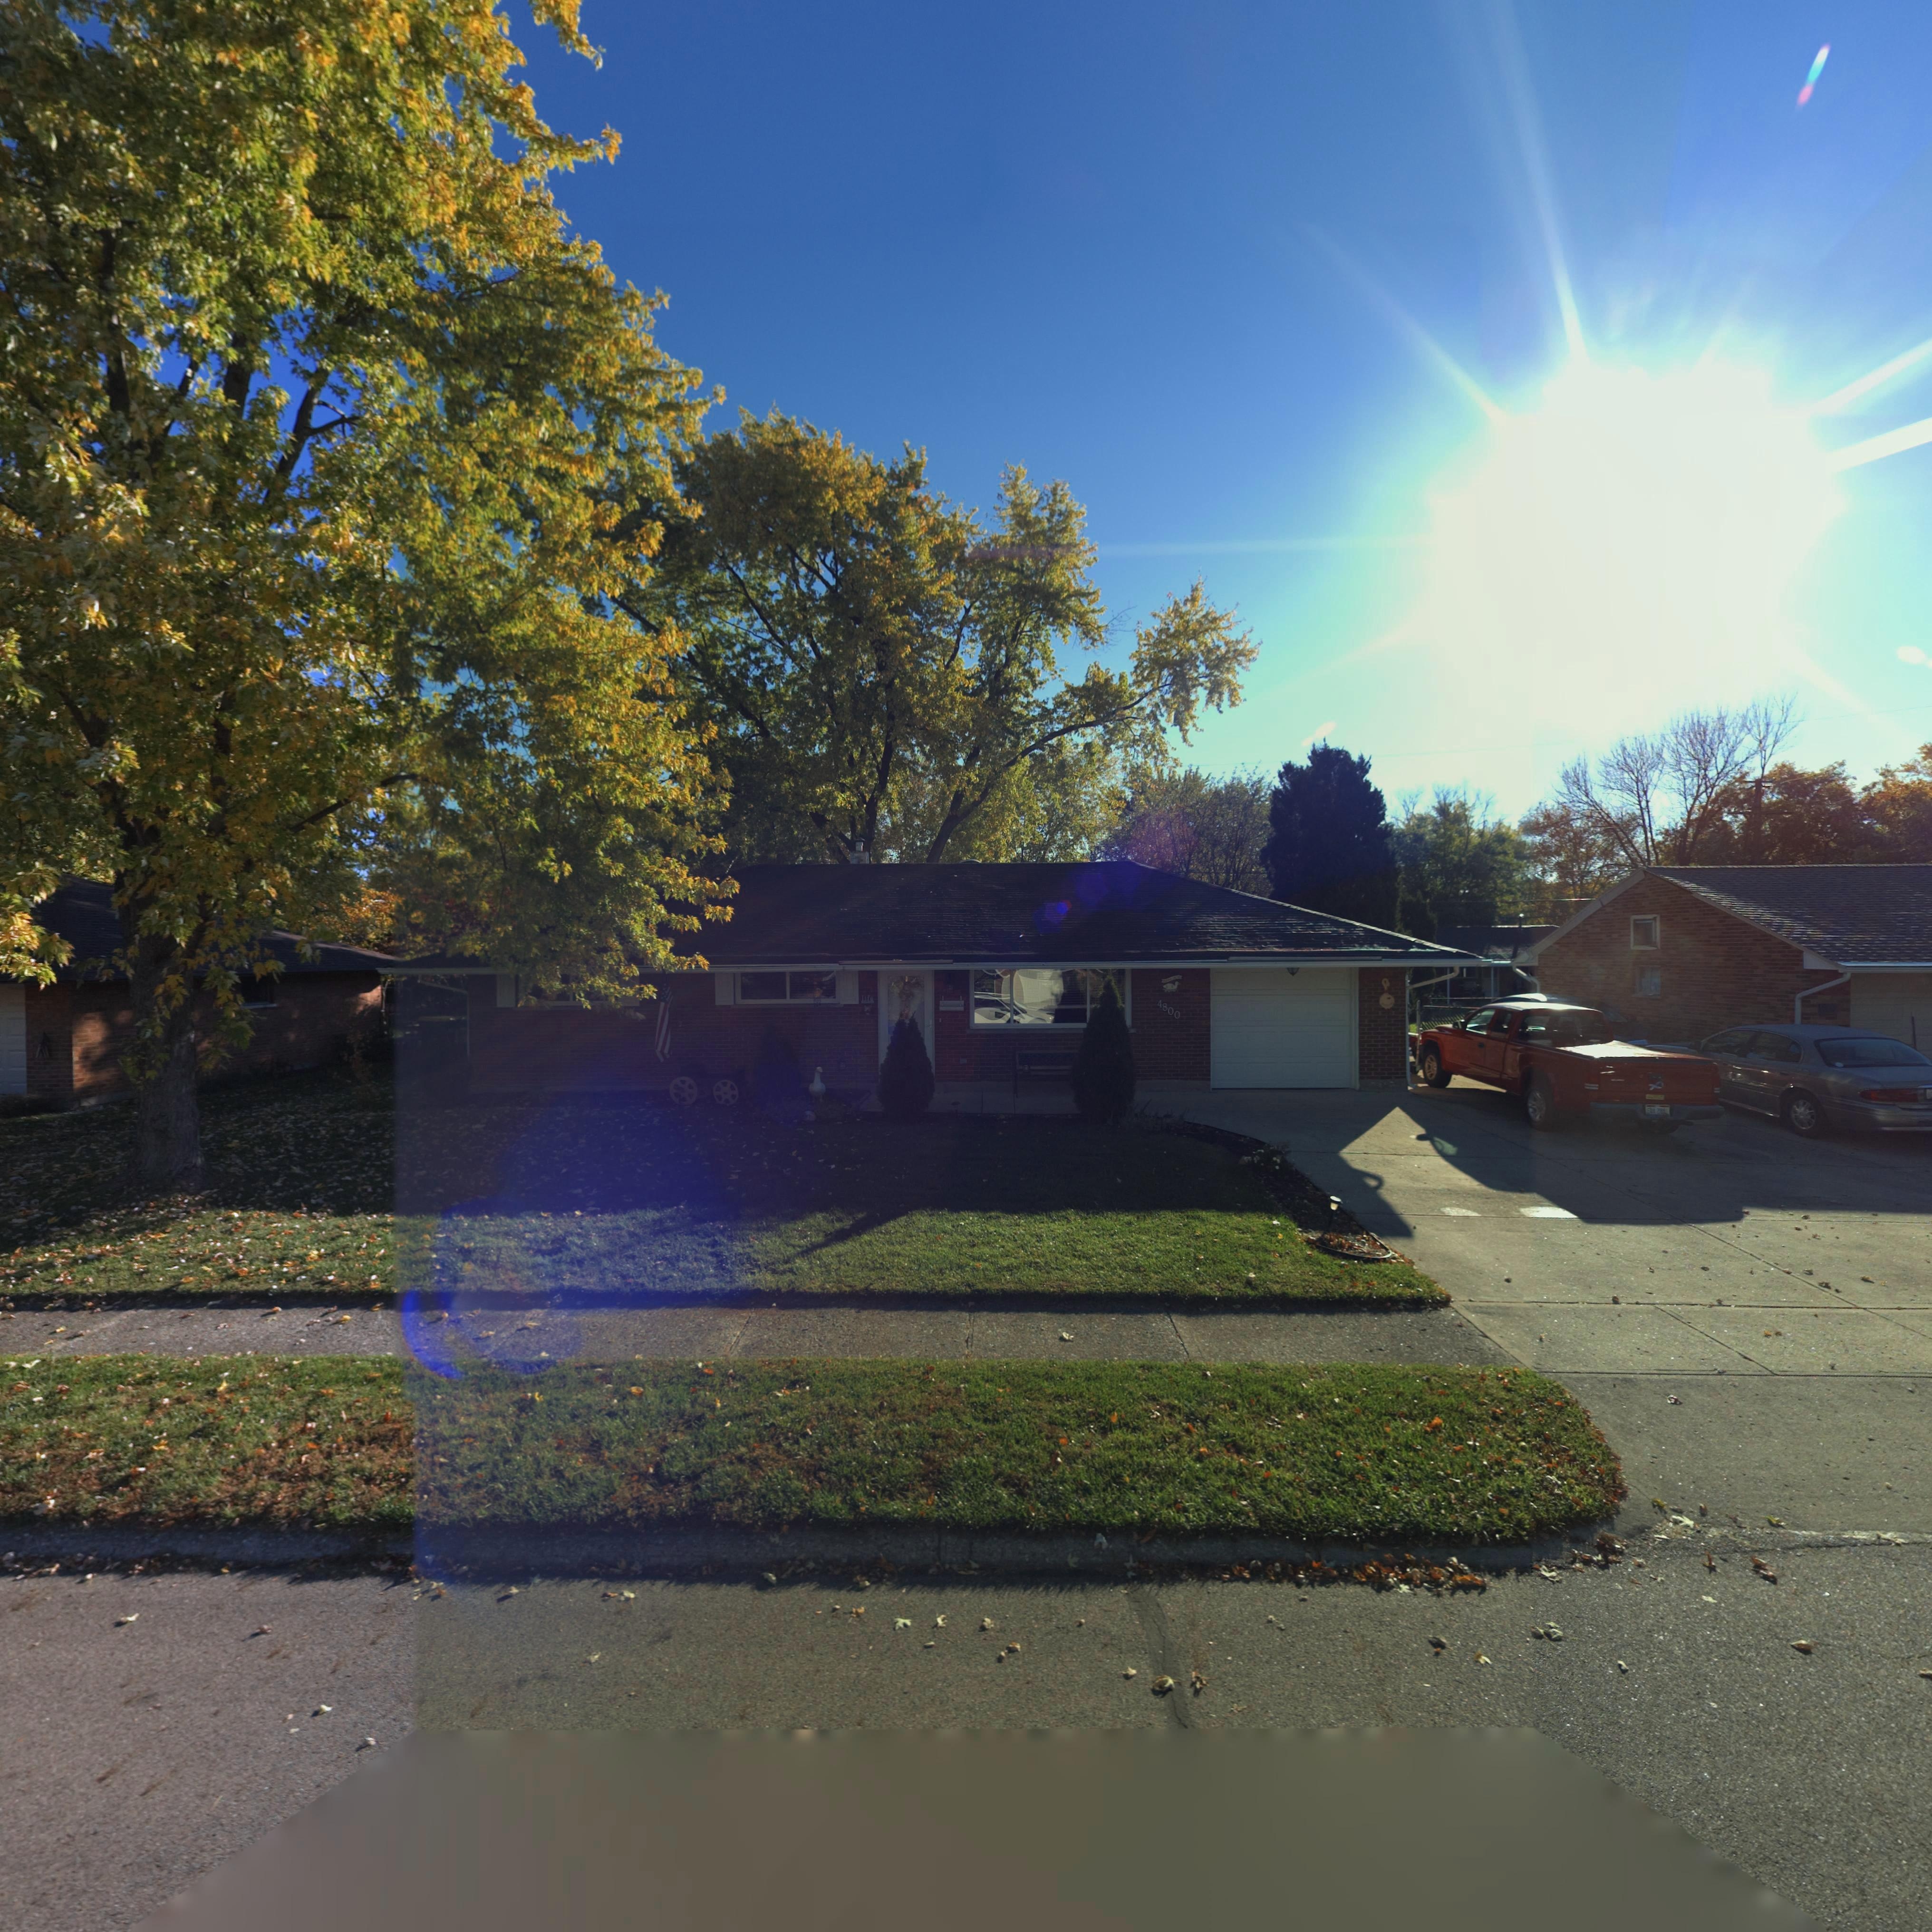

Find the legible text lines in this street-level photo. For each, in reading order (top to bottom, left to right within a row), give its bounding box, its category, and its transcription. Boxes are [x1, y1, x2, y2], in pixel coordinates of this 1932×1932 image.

[1157, 999, 1180, 1019] StreetNumber: 4800